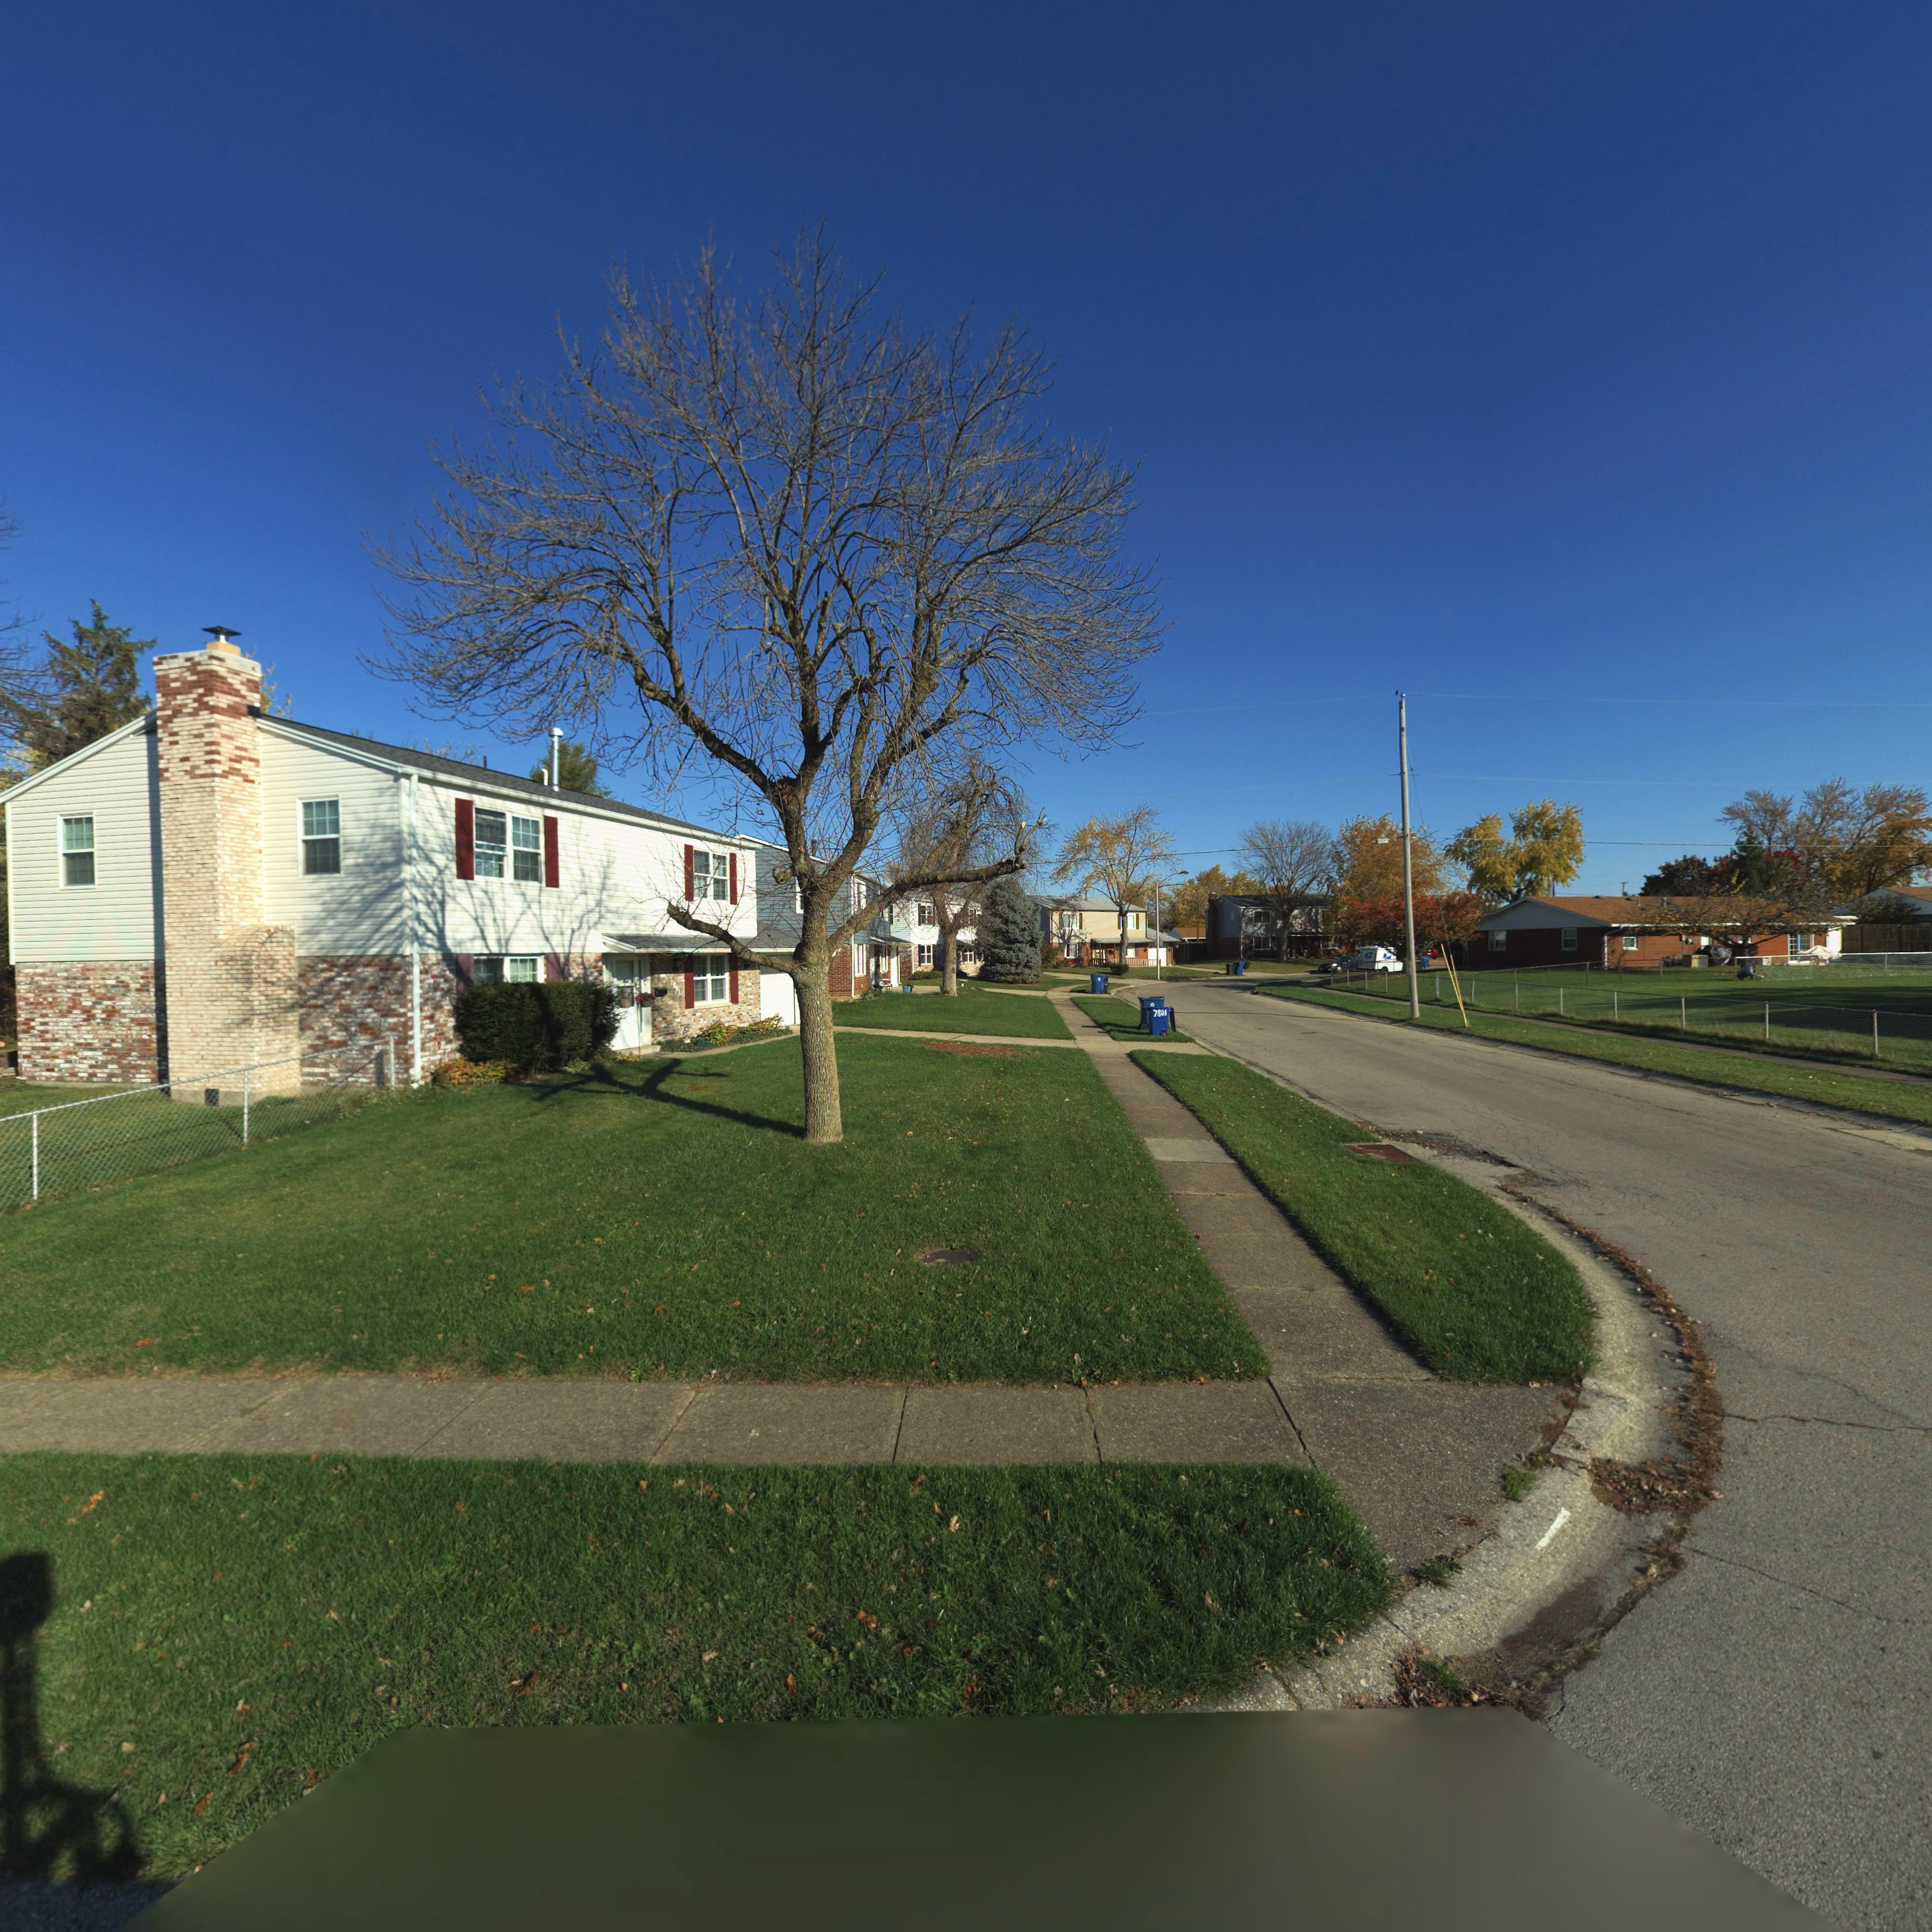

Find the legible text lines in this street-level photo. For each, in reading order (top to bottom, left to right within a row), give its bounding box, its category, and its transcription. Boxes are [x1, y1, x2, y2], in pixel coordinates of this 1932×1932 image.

[669, 979, 681, 995] StreetNumber: 7801
[1152, 1008, 1168, 1018] StreetNumber: 7801